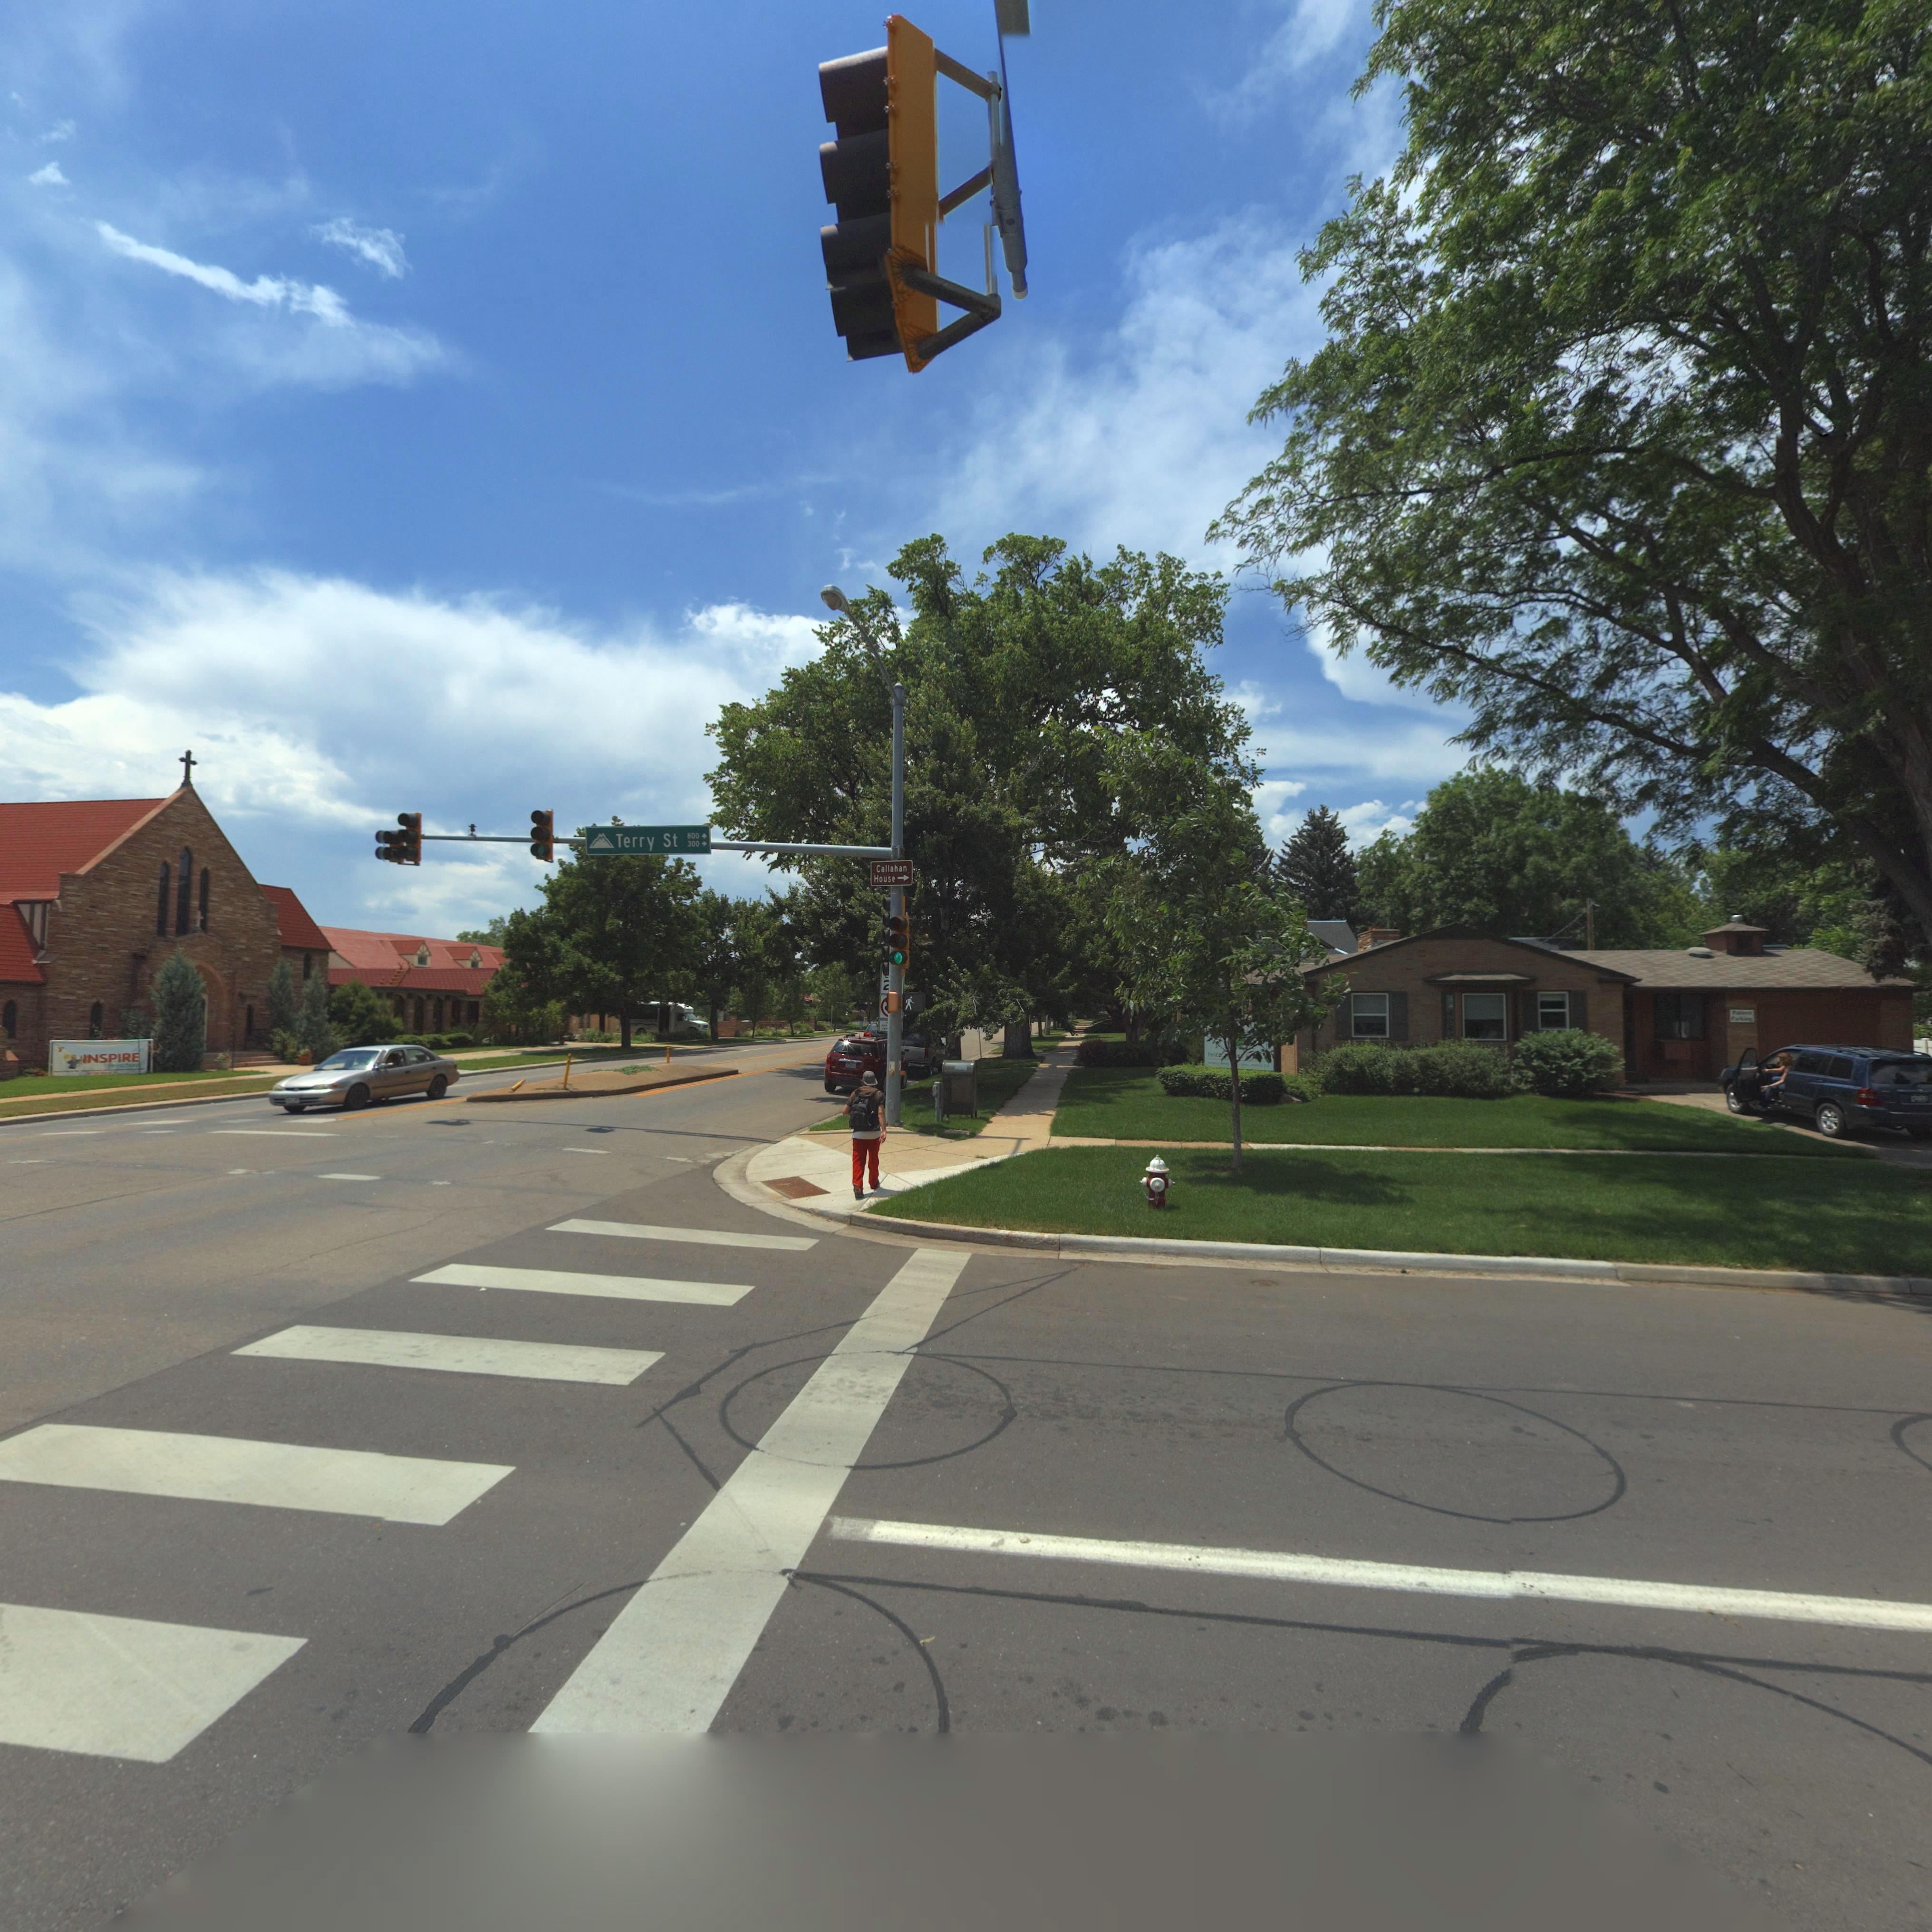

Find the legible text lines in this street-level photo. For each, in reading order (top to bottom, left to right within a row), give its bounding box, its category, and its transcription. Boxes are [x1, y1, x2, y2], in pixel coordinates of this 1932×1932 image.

[687, 832, 699, 839] StreetNumberRange: 800
[615, 832, 678, 852] StreetName: Terry St
[687, 840, 707, 847] StreetNumberRange: 300->
[1207, 1052, 1222, 1057] BusinessName: THIRD